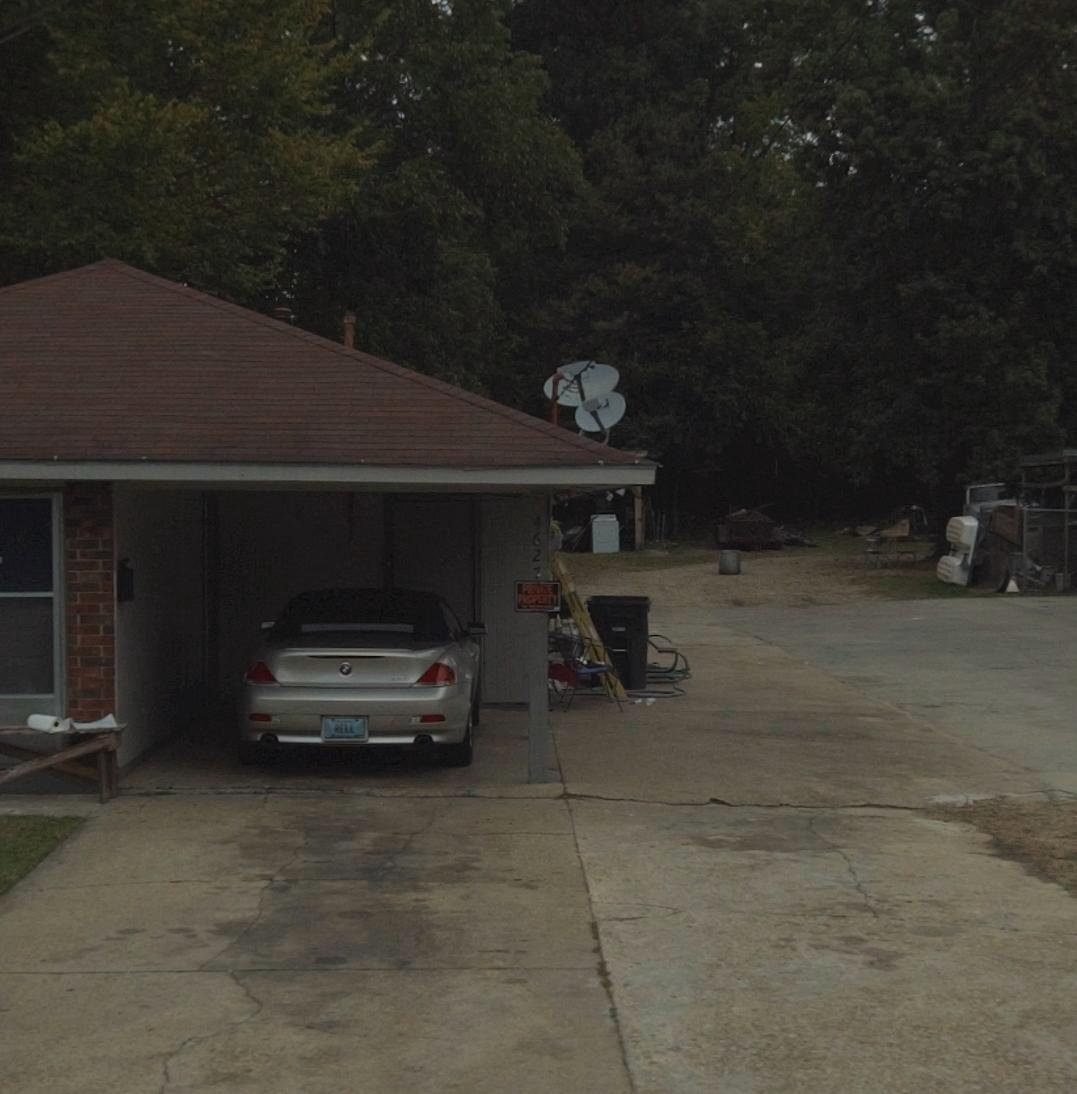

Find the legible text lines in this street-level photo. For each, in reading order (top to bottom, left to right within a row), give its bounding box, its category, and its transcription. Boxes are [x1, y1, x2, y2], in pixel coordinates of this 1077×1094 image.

[531, 513, 543, 580] StreetNumber: 4627
[522, 584, 554, 594] None: PRIVATE
[517, 594, 558, 604] None: PROPERTY
[333, 723, 356, 733] None: RELL